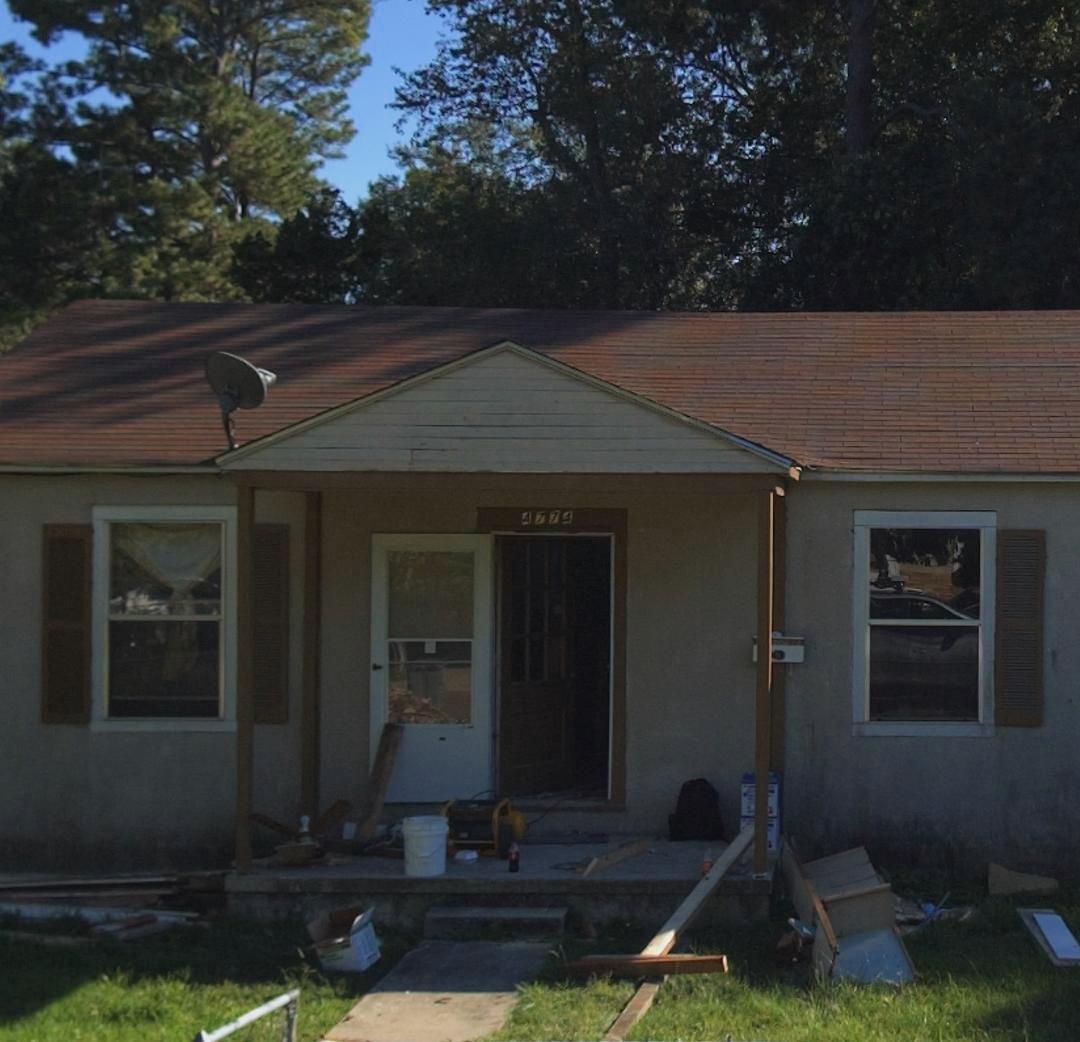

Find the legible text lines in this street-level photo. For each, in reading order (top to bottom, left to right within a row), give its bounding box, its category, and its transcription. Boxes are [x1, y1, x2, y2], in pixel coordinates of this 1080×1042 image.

[520, 511, 572, 526] StreetNumber: 4774